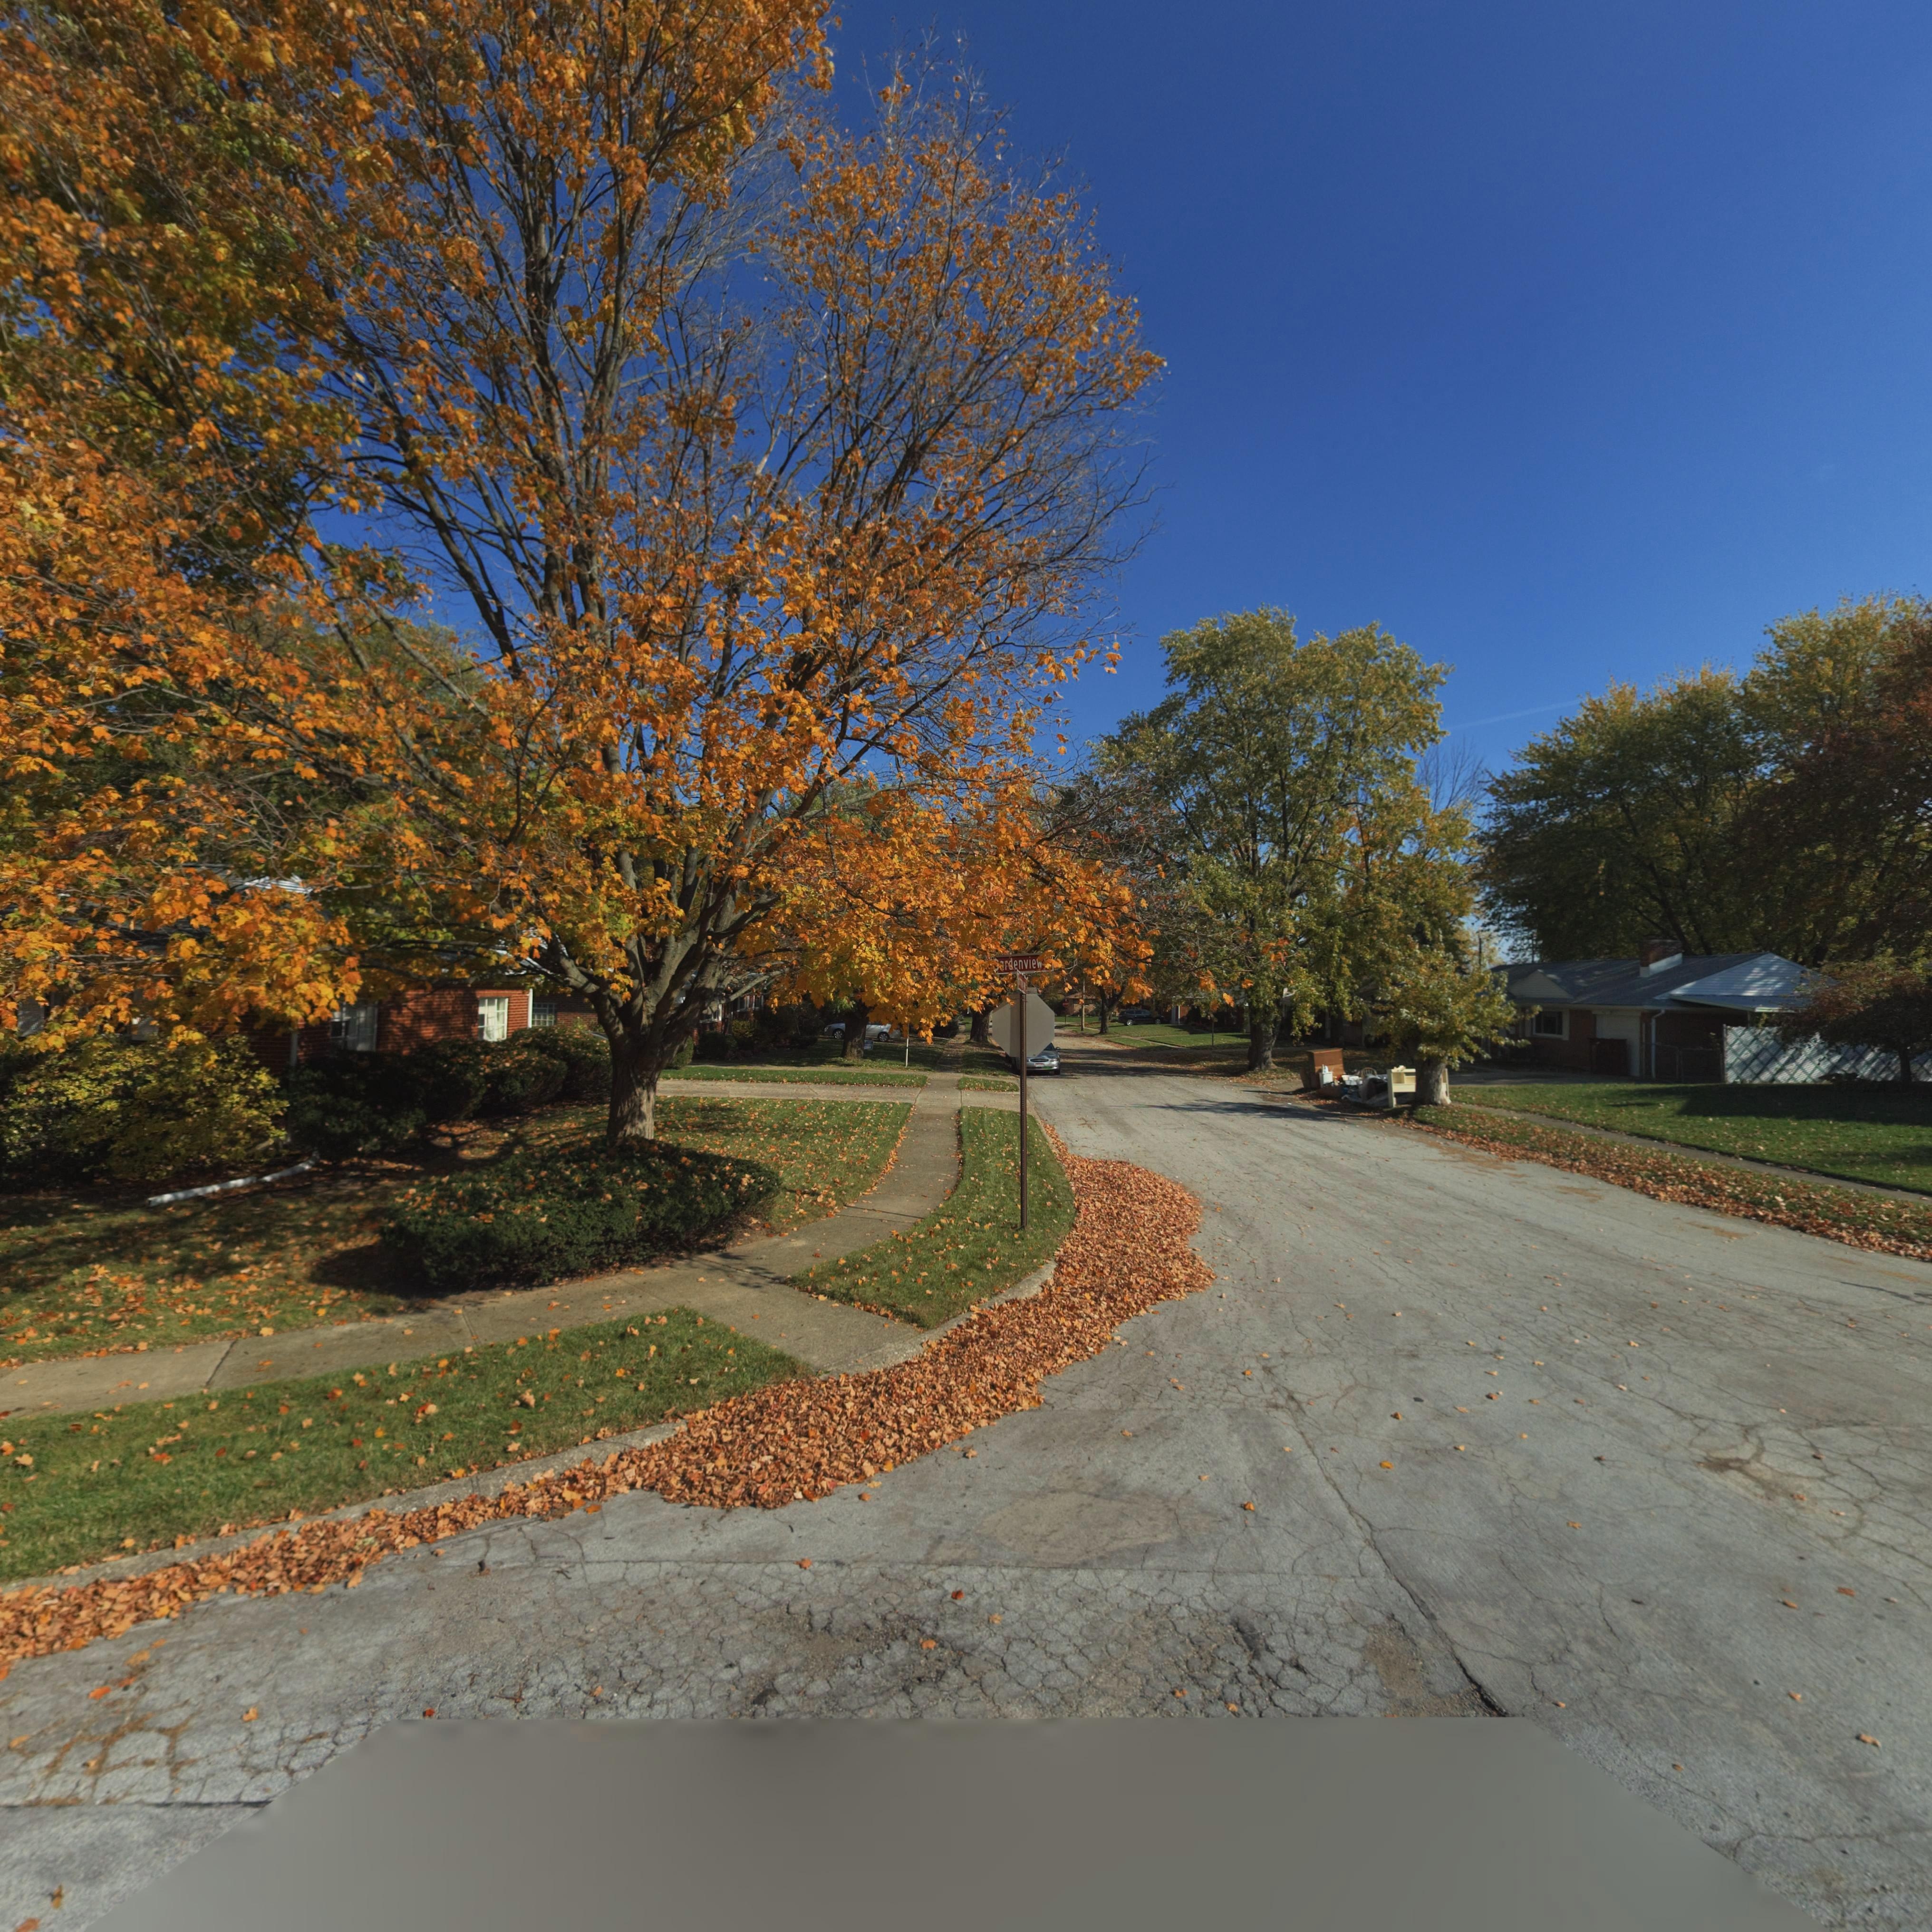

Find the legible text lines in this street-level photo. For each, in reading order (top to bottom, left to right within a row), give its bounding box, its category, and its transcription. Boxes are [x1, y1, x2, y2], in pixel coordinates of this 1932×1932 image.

[1013, 955, 1037, 970] StreetName: envie